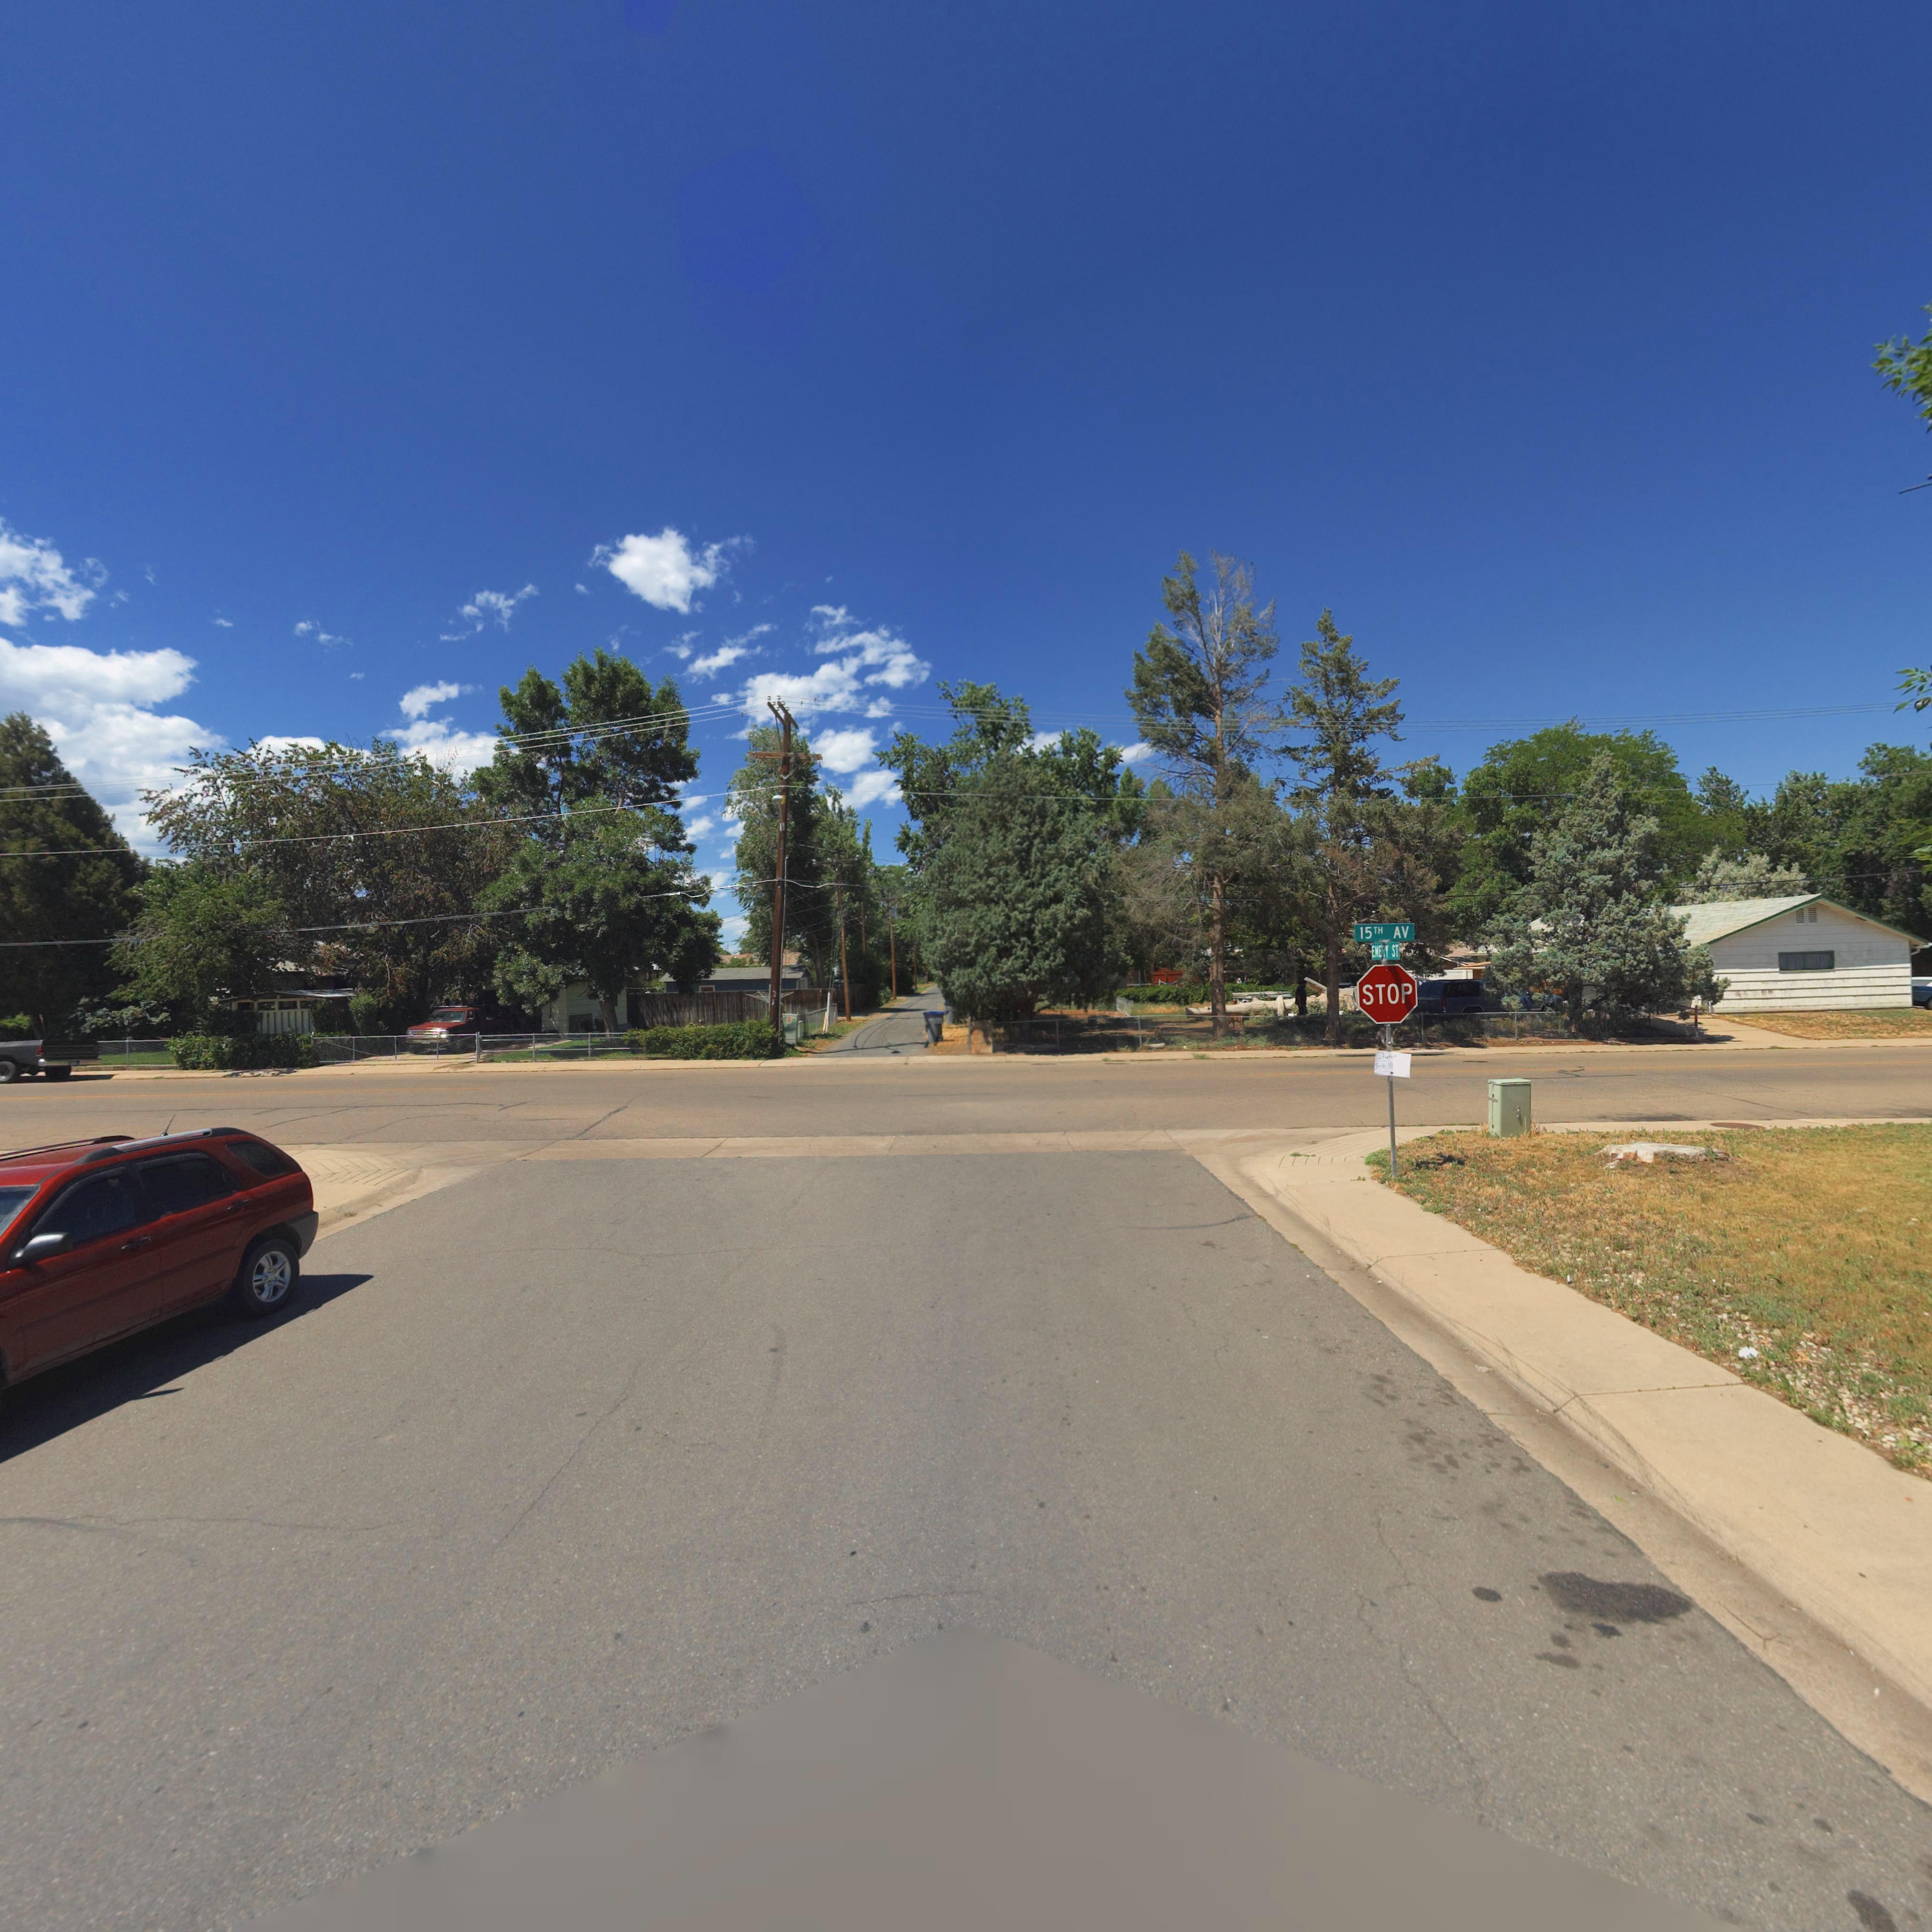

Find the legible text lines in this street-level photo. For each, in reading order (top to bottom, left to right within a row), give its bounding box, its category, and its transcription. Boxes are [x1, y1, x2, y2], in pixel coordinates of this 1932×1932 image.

[1359, 926, 1410, 939] StreetName: 15TH AV
[1372, 944, 1399, 958] StreetName: EMERY ST